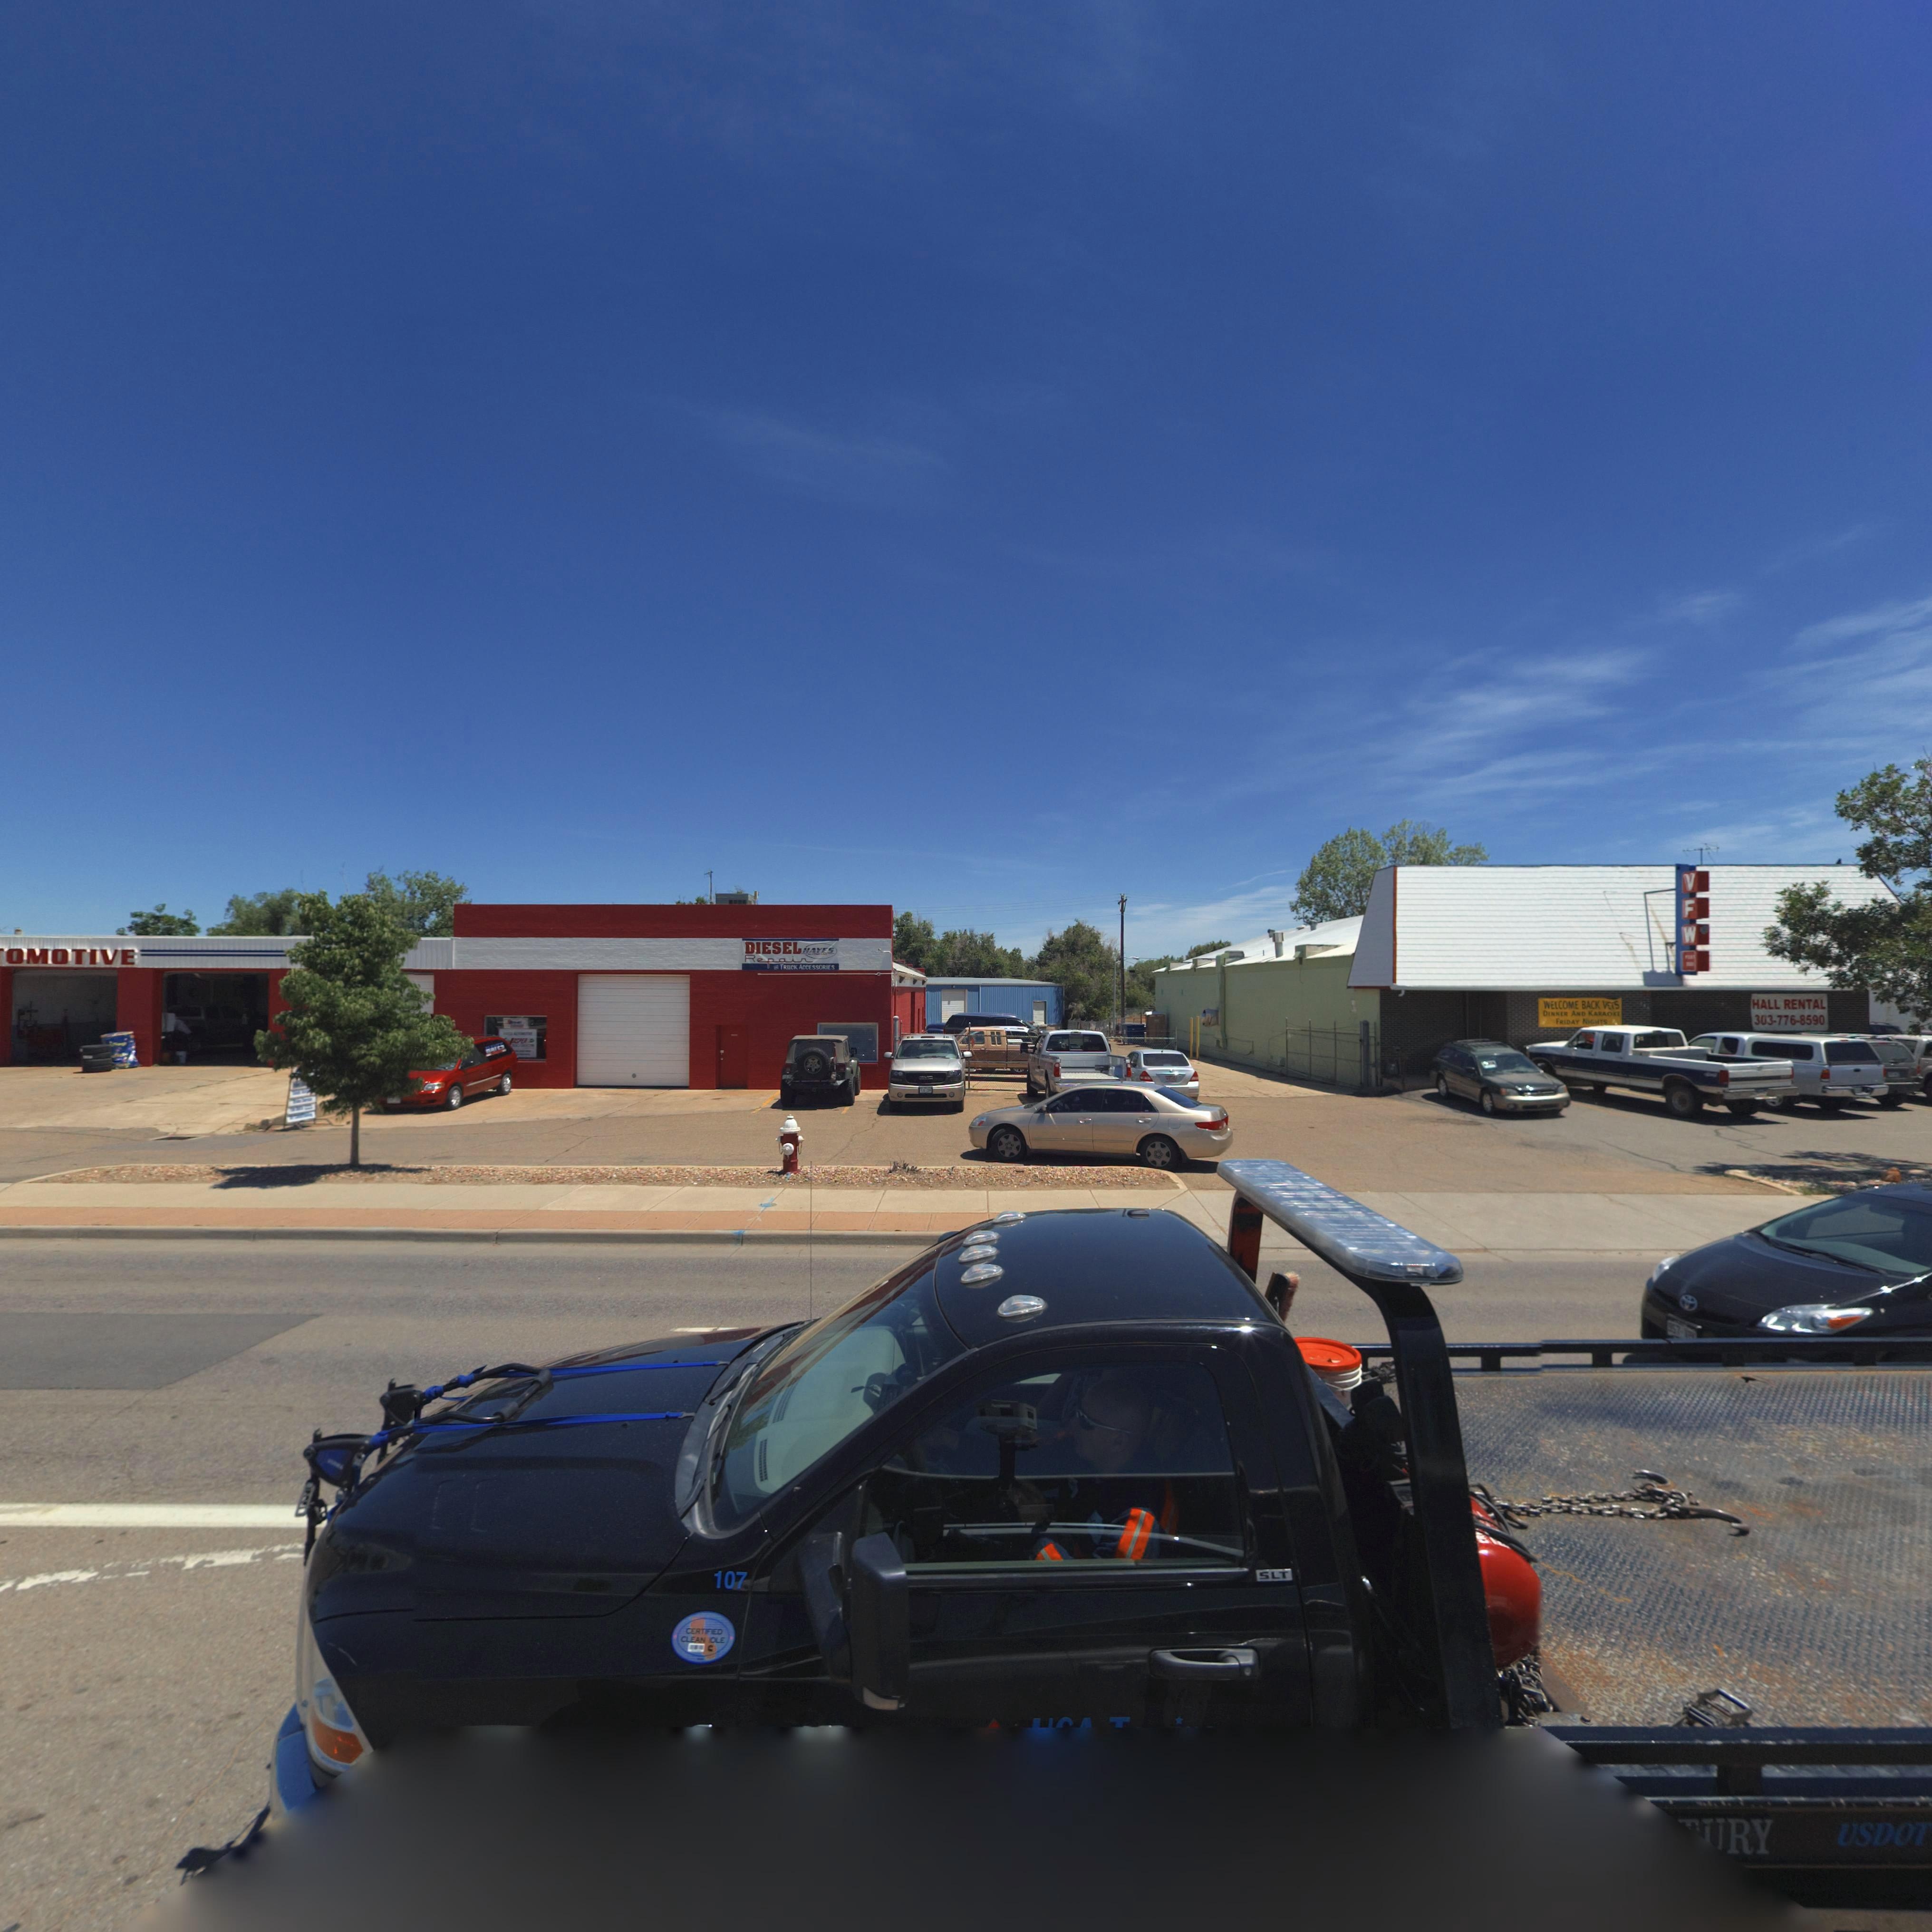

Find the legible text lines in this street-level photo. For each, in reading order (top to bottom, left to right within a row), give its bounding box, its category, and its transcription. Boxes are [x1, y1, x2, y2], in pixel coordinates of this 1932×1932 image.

[1682, 872, 1697, 945] BusinessName: VFW
[5, 947, 137, 965] BusinessName: OMOTIVE
[801, 947, 835, 953] BusinessName: HAYES